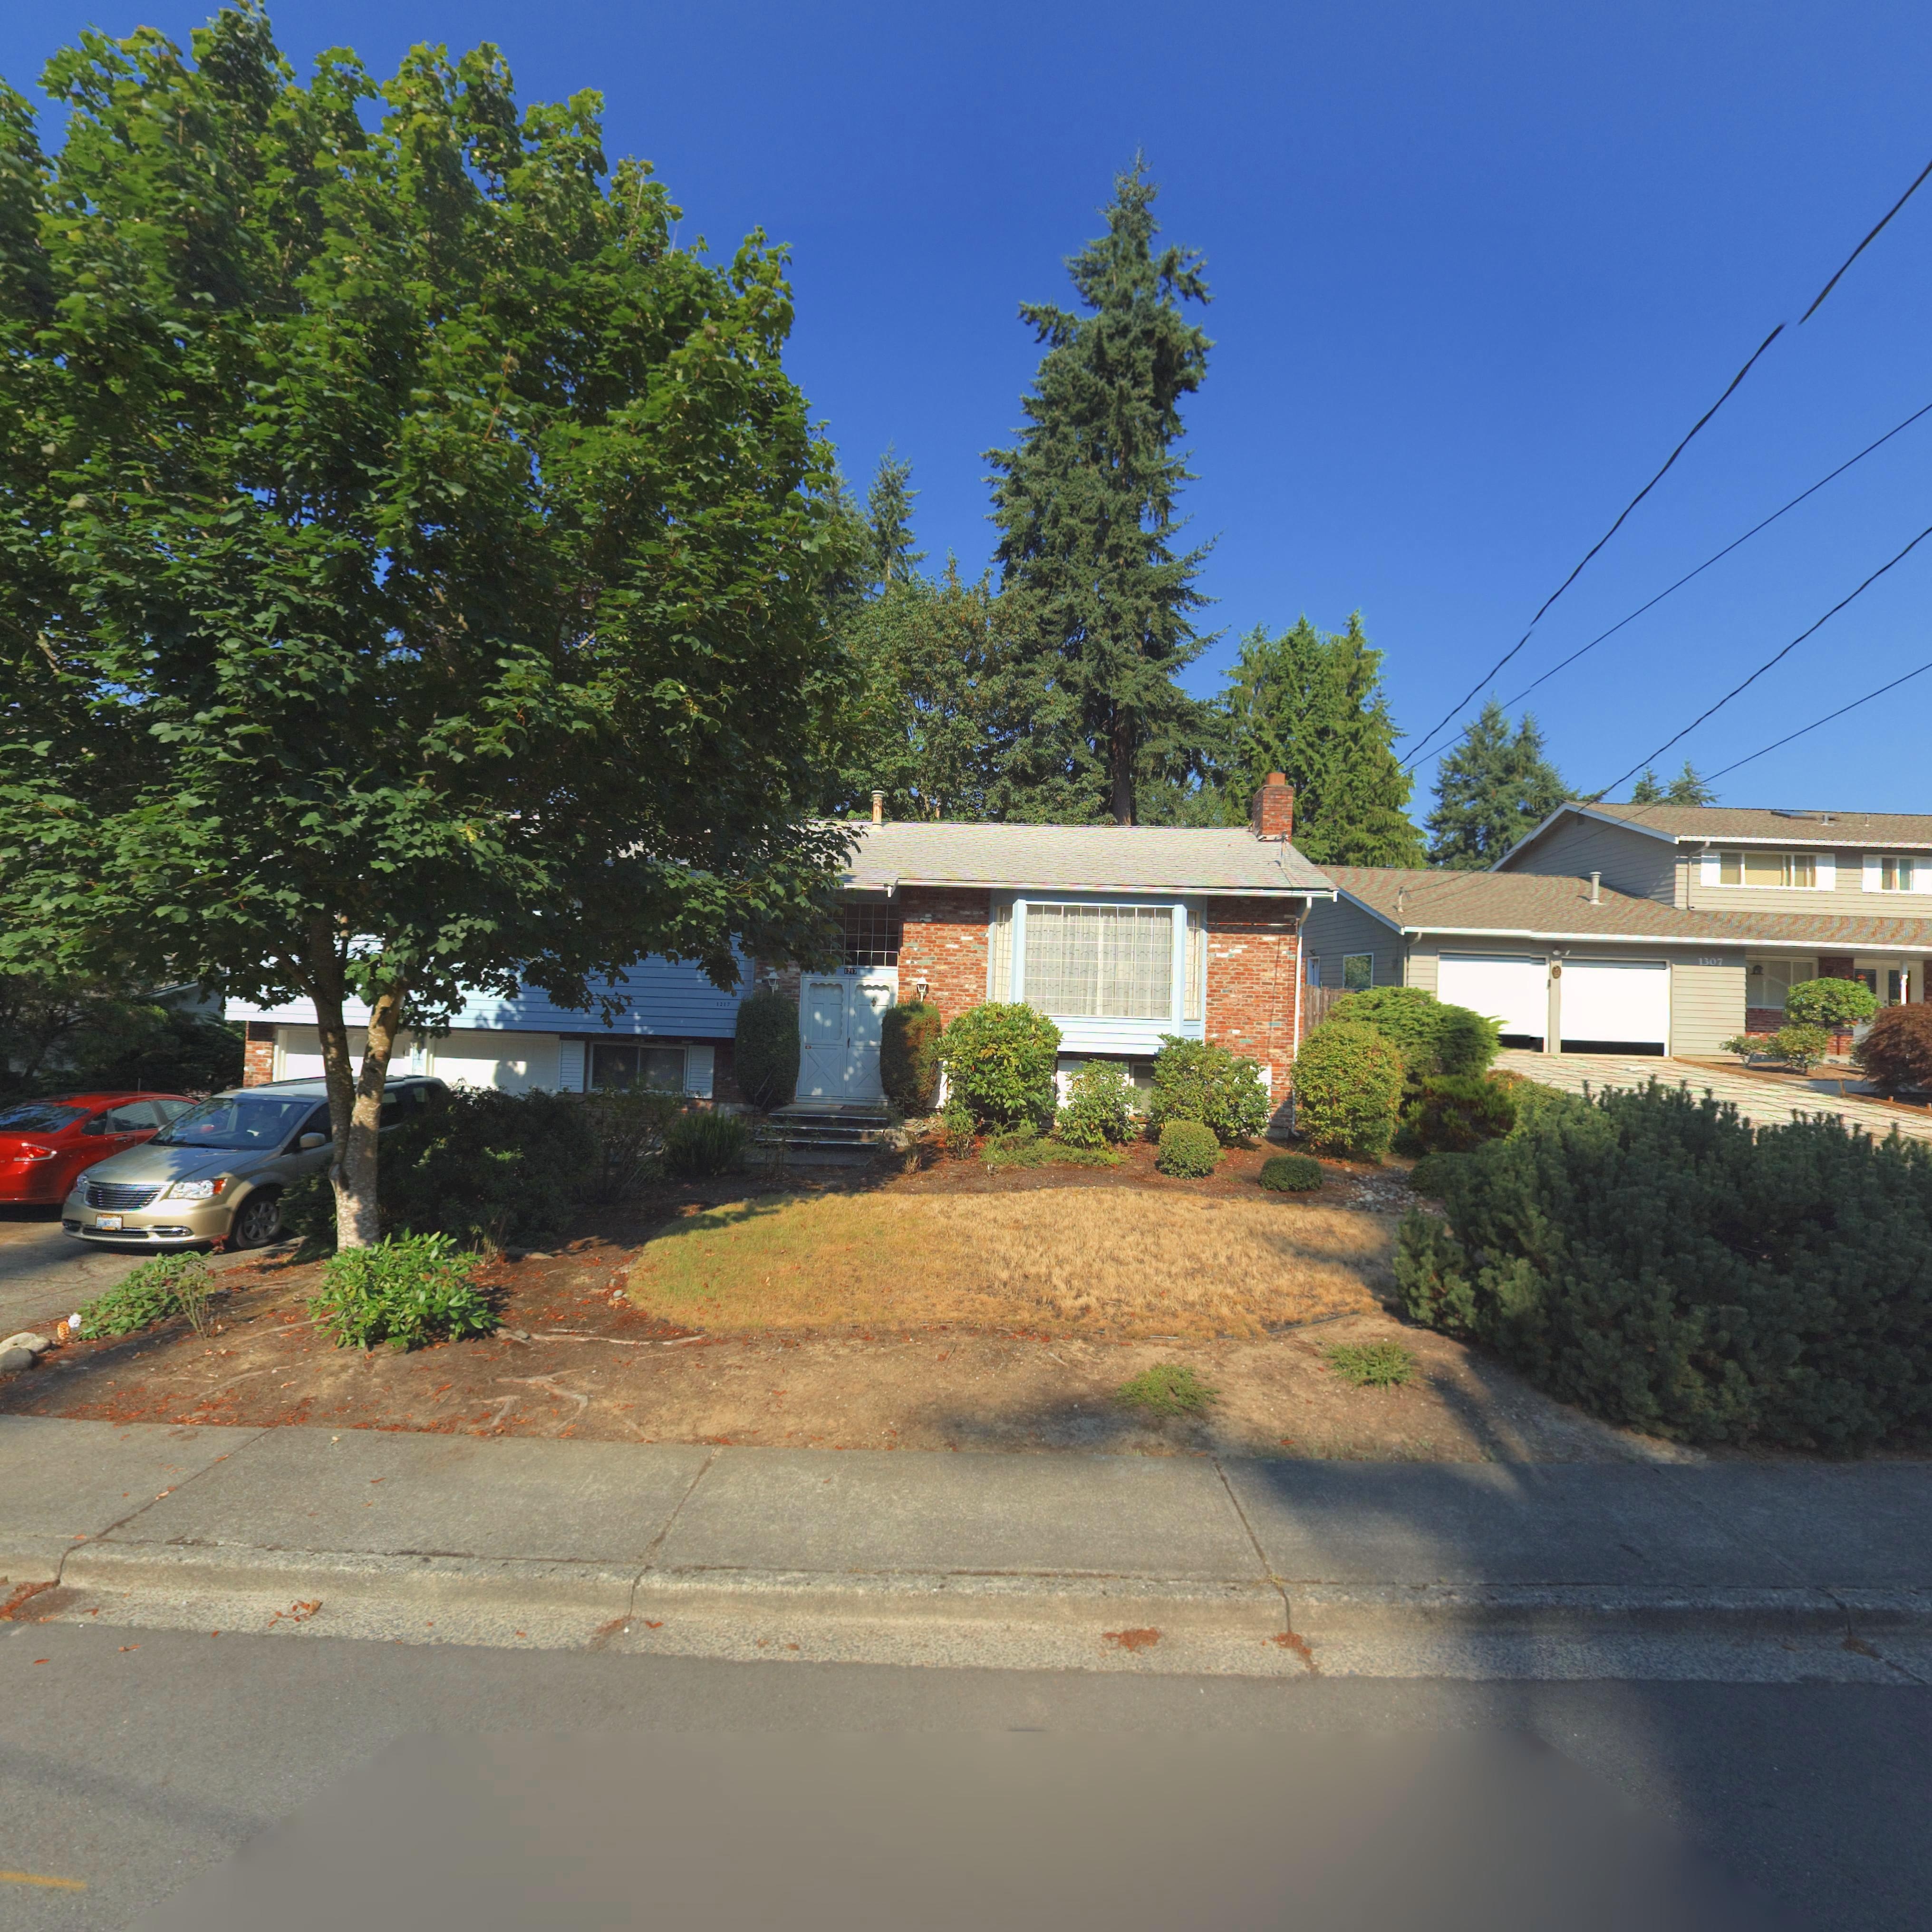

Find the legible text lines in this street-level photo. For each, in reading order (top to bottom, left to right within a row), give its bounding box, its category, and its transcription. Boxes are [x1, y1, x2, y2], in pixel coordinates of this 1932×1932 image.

[1697, 956, 1723, 966] StreetNumber: 1307
[844, 968, 857, 974] StreetNumber: 1217
[716, 1001, 731, 1006] StreetNumber: 1217